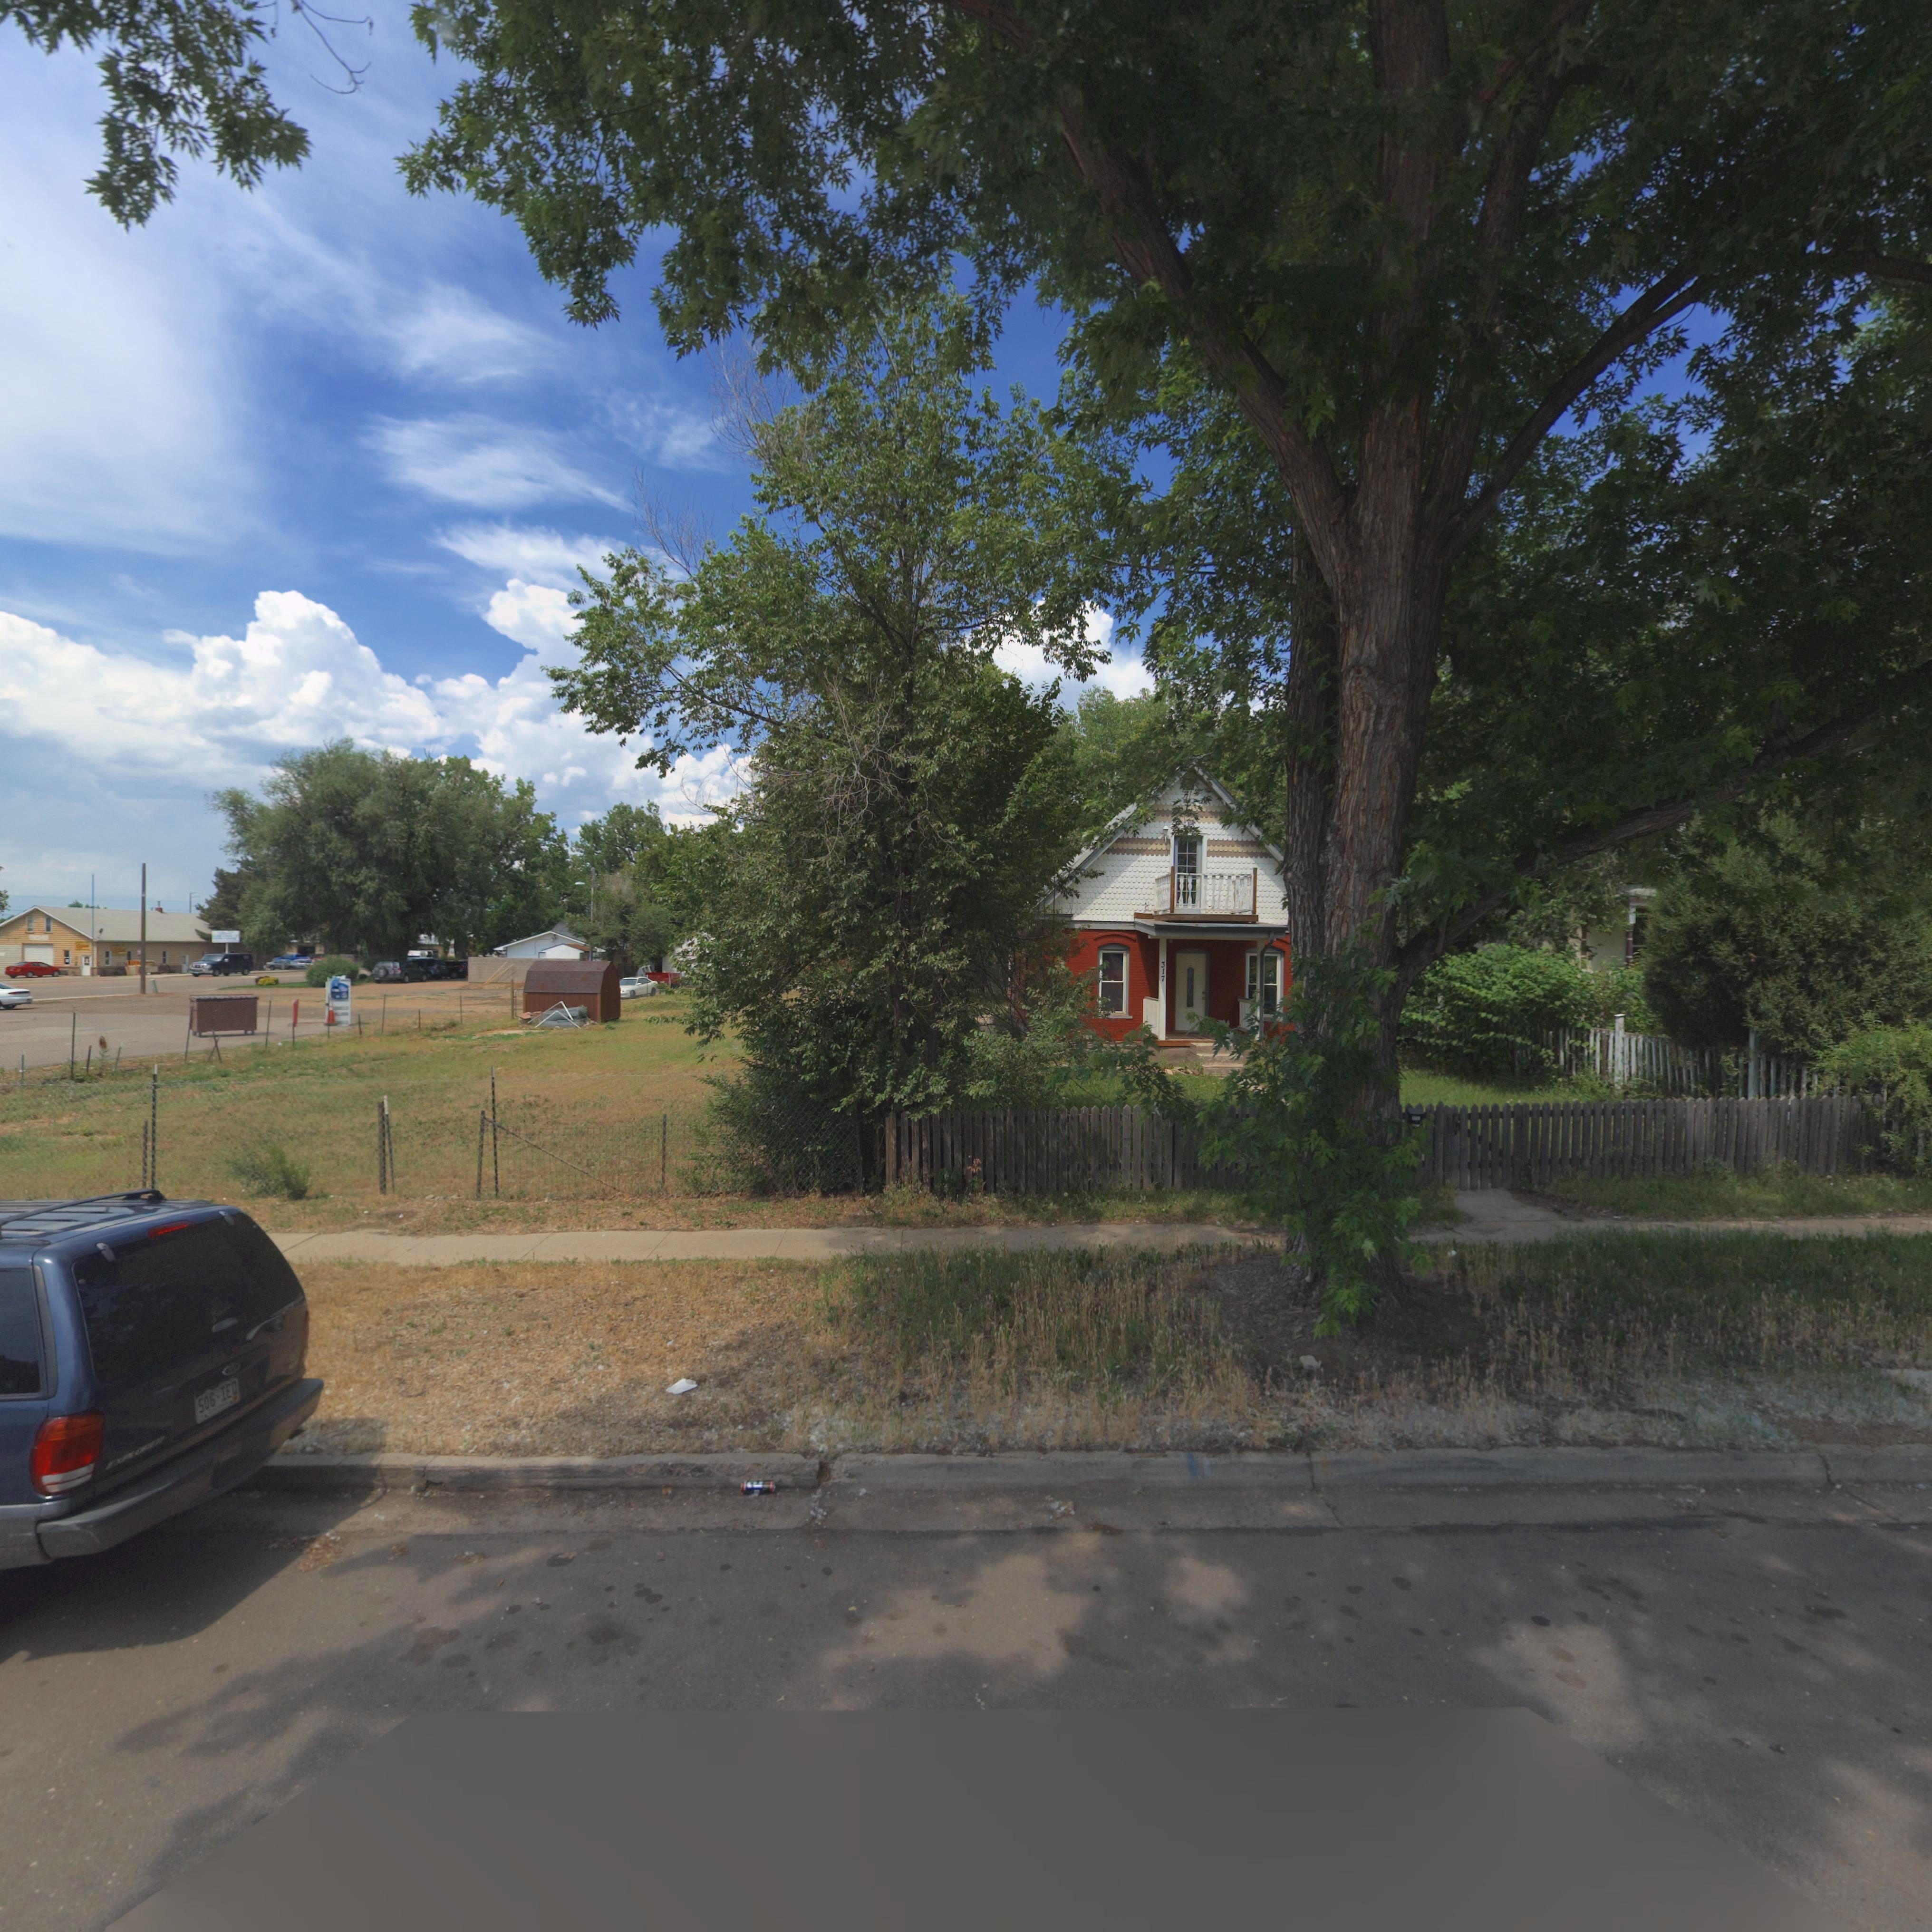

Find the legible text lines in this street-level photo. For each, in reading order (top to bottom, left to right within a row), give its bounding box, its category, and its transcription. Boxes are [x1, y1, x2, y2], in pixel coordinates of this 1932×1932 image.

[1160, 960, 1167, 983] StreetNumber: 317